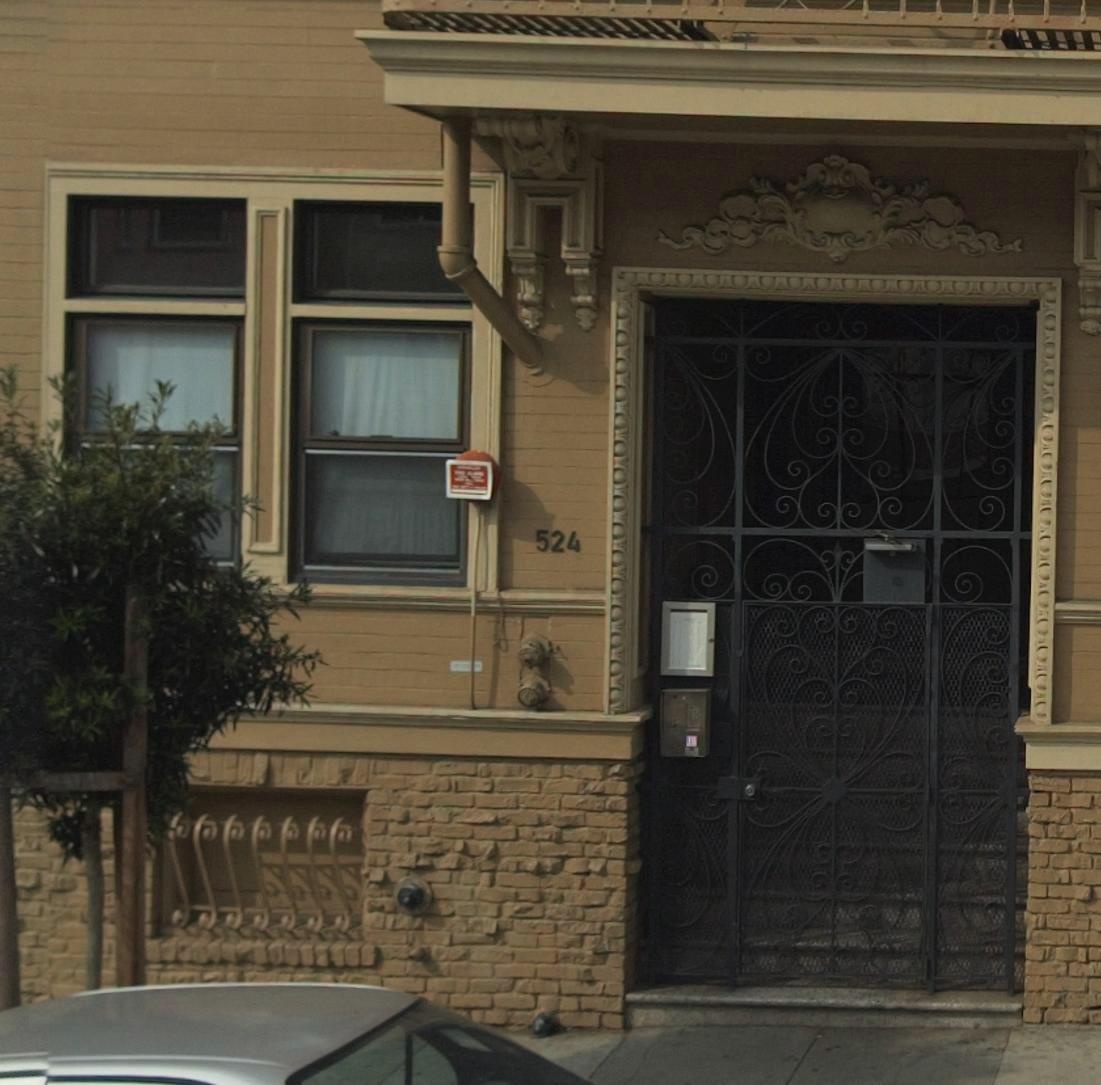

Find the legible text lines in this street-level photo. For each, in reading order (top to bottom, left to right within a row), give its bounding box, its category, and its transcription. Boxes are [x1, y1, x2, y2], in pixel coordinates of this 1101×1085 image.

[534, 528, 583, 555] StreetNumber: 524